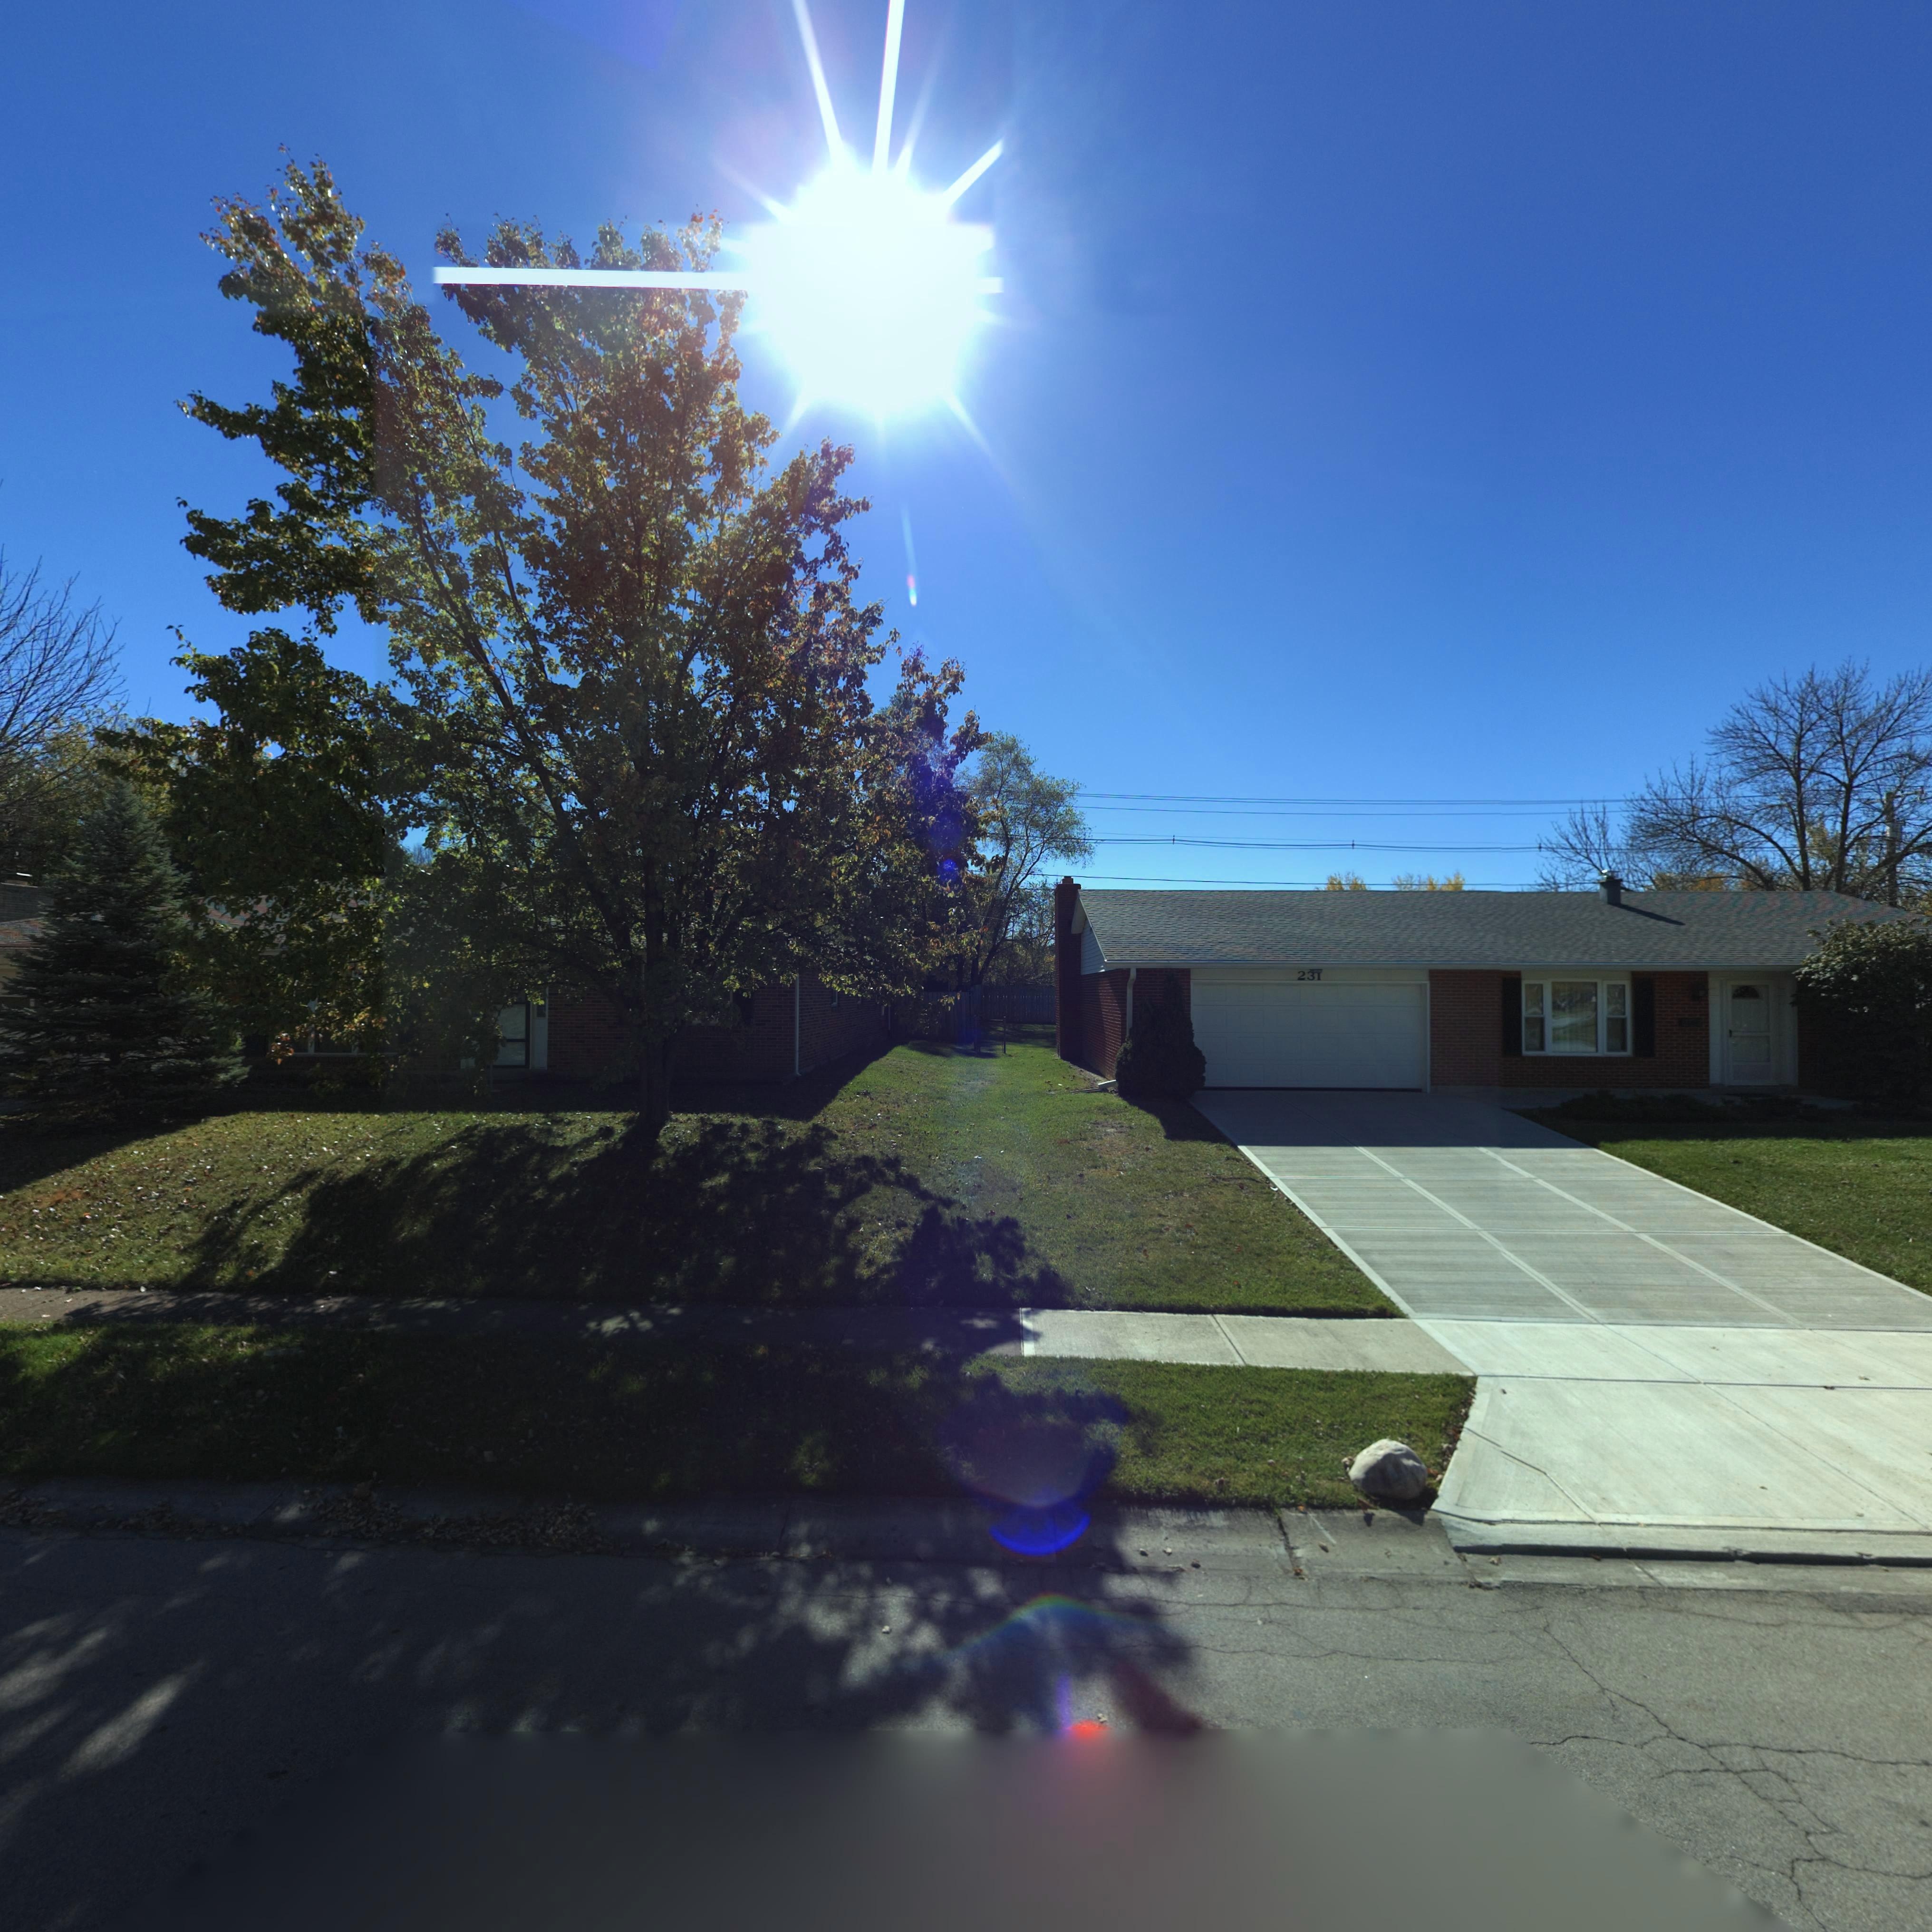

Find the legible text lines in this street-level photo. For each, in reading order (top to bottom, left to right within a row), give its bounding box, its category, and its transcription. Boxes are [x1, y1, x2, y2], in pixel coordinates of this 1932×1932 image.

[1297, 970, 1321, 981] StreetNumber: 231